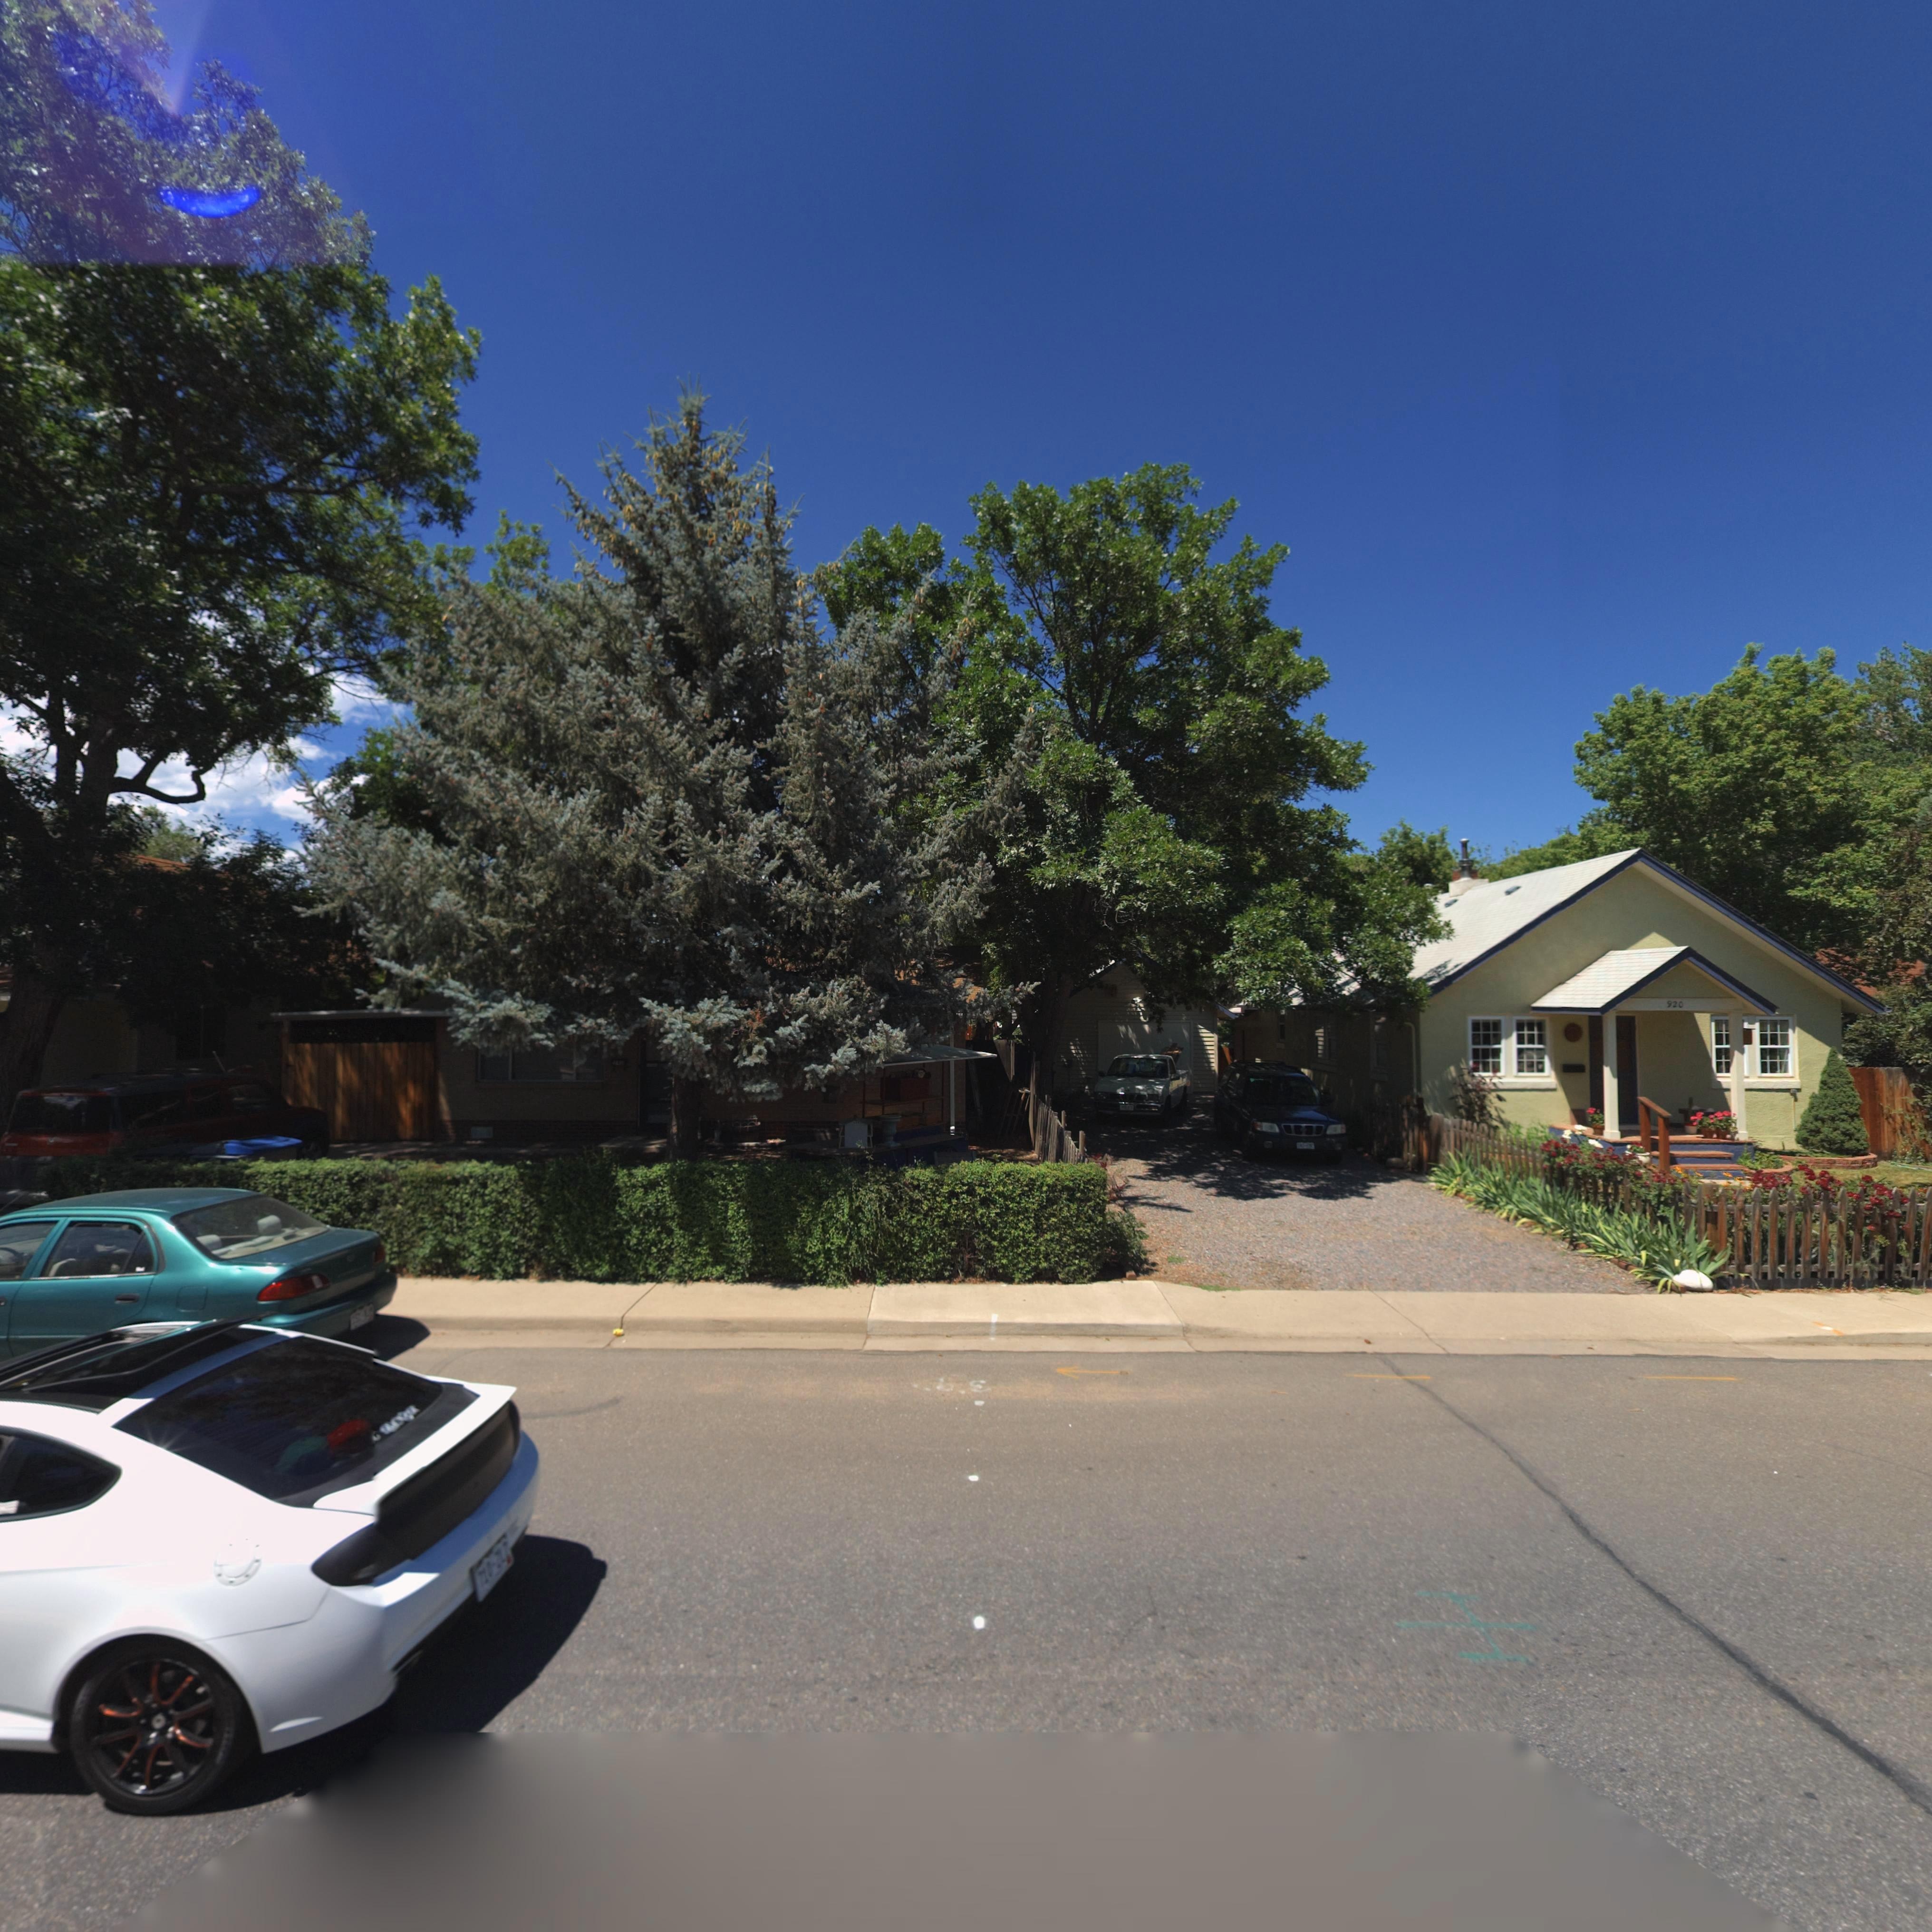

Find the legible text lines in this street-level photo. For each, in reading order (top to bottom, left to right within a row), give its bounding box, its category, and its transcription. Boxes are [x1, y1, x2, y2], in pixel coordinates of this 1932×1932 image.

[1666, 1000, 1684, 1008] StreetNumber: 920